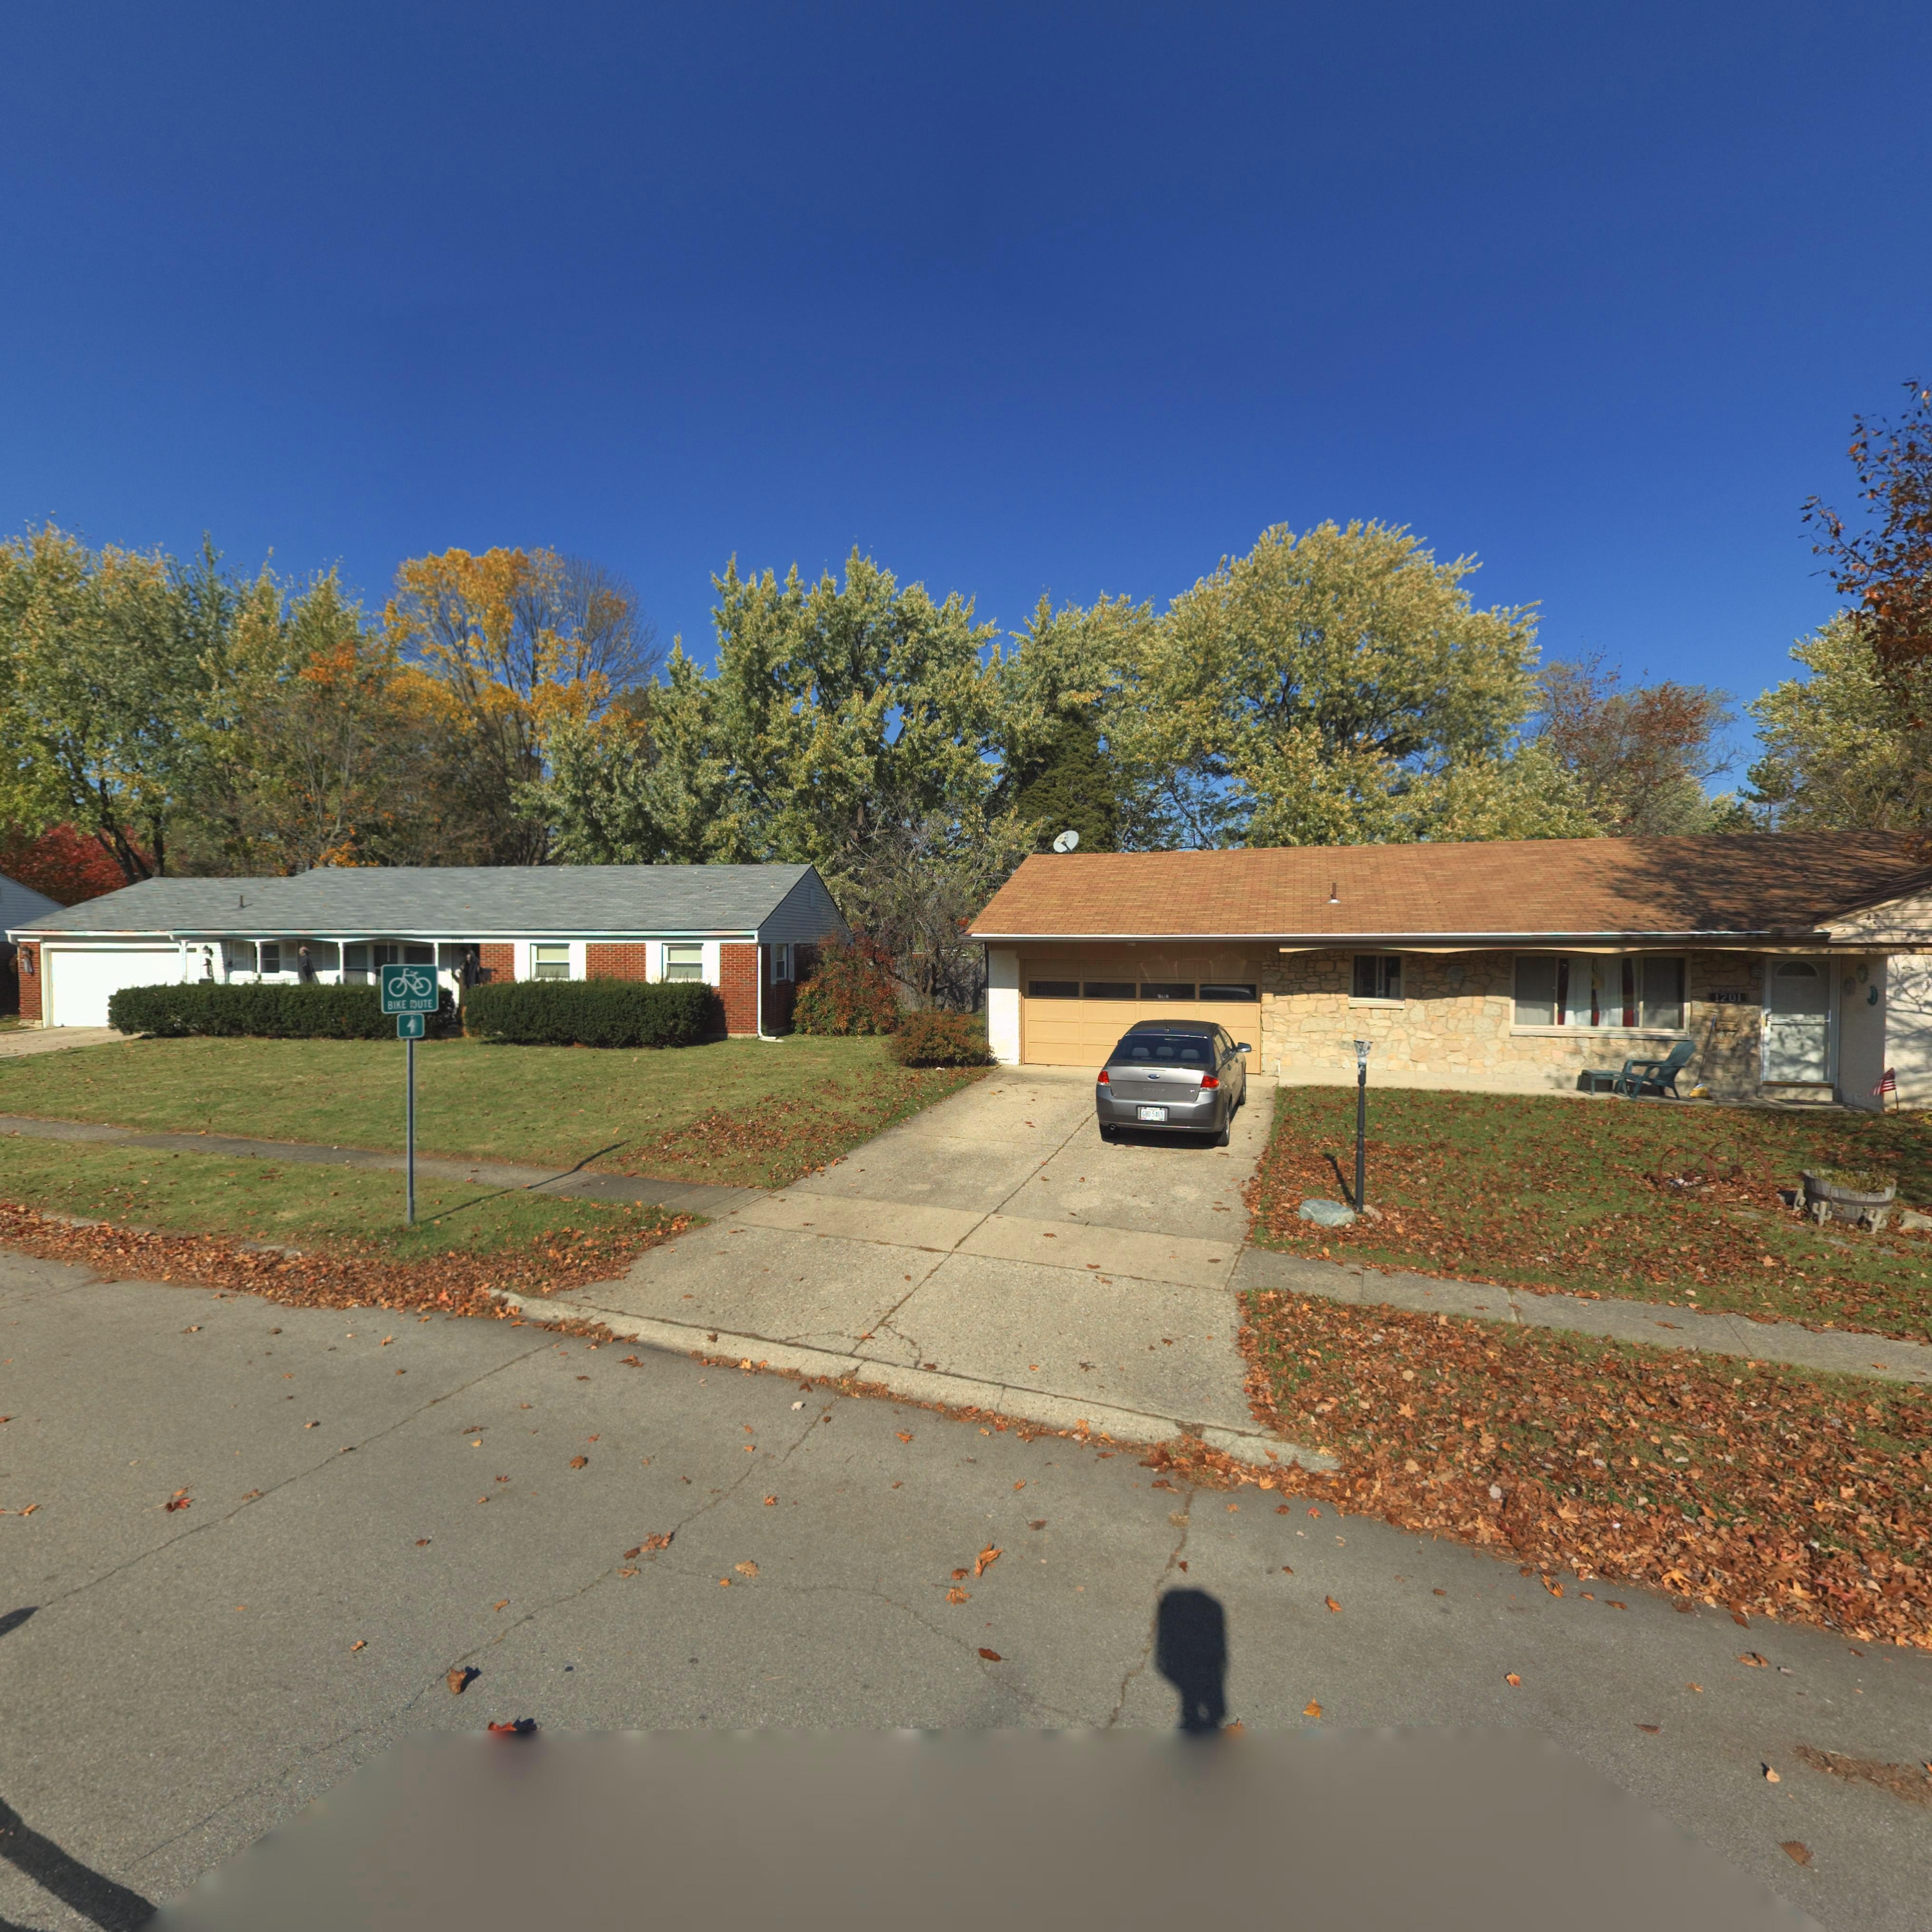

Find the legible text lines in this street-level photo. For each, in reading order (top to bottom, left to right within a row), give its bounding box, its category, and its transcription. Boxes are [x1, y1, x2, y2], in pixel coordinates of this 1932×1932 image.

[1714, 993, 1742, 1002] StreetNumber: 1201
[387, 998, 433, 1010] None: BIKE **UTE
[1143, 1087, 1166, 1093] None: FOCUS
[1141, 1110, 1163, 1118] None: GHD 5465